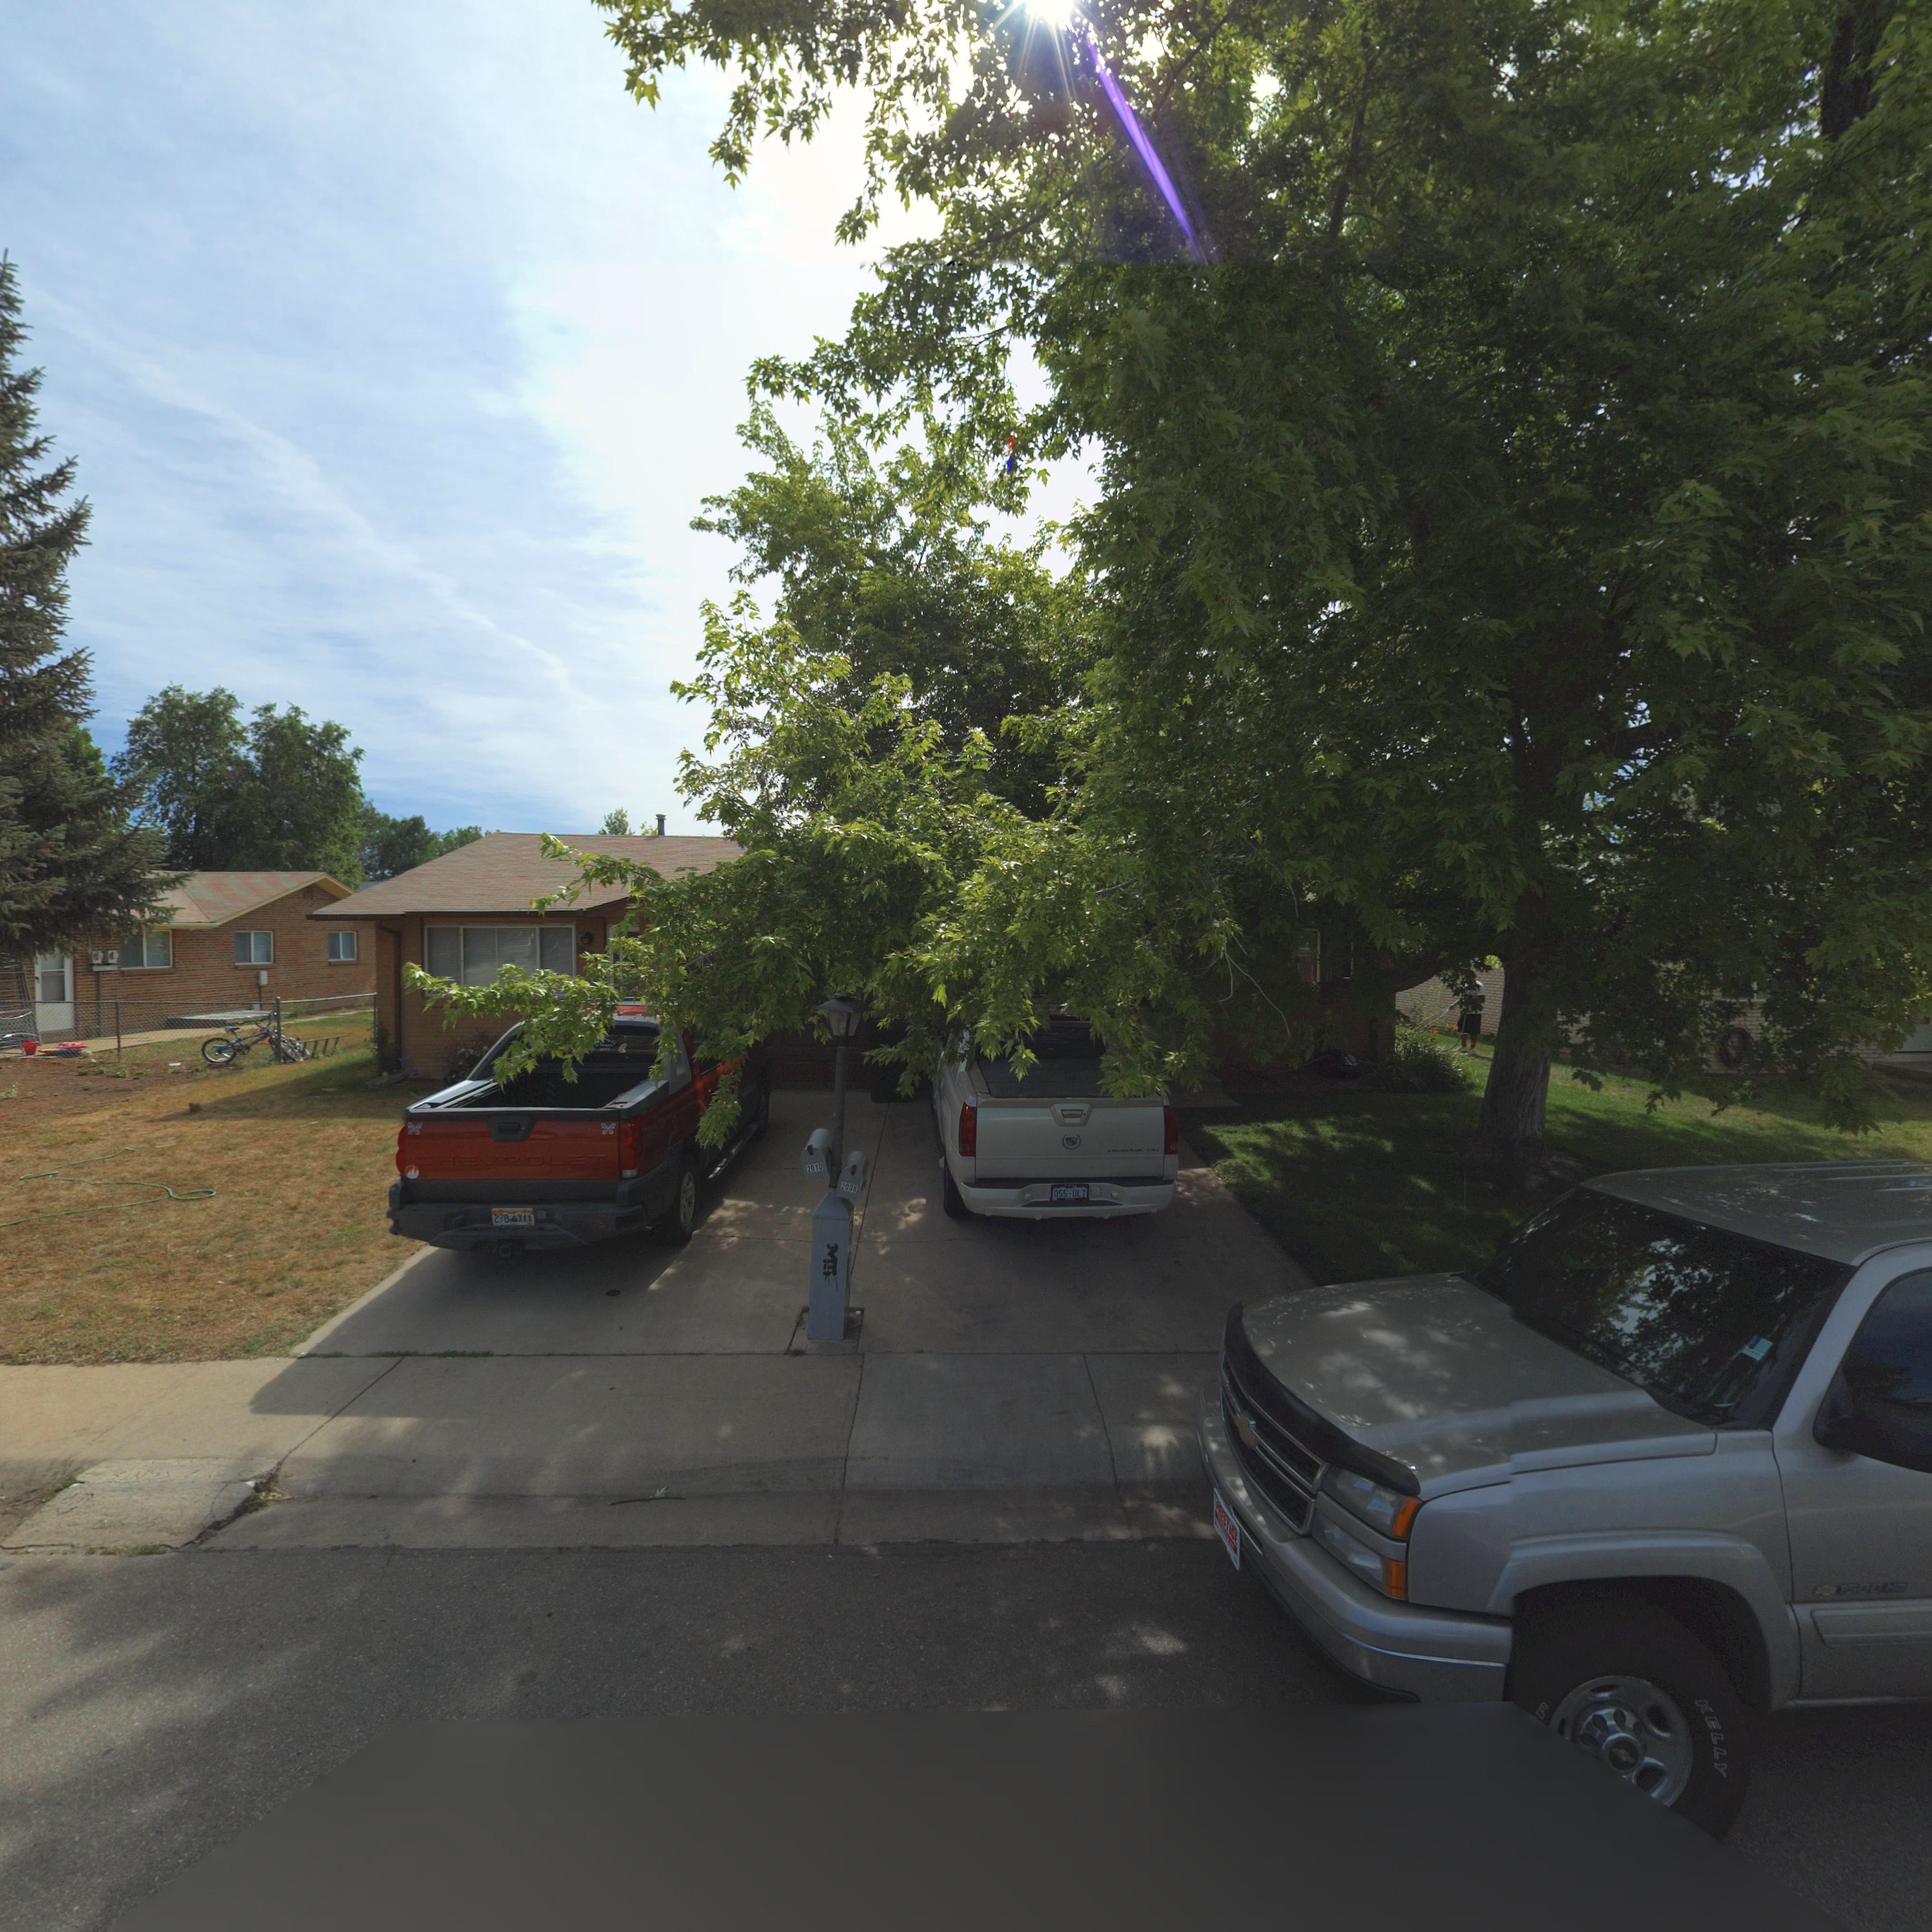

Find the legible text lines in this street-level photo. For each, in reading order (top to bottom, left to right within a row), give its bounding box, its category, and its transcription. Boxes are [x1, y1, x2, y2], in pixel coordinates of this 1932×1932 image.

[806, 1162, 823, 1173] StreetNumber: 2010
[840, 1182, 857, 1193] StreetNumber: 2008